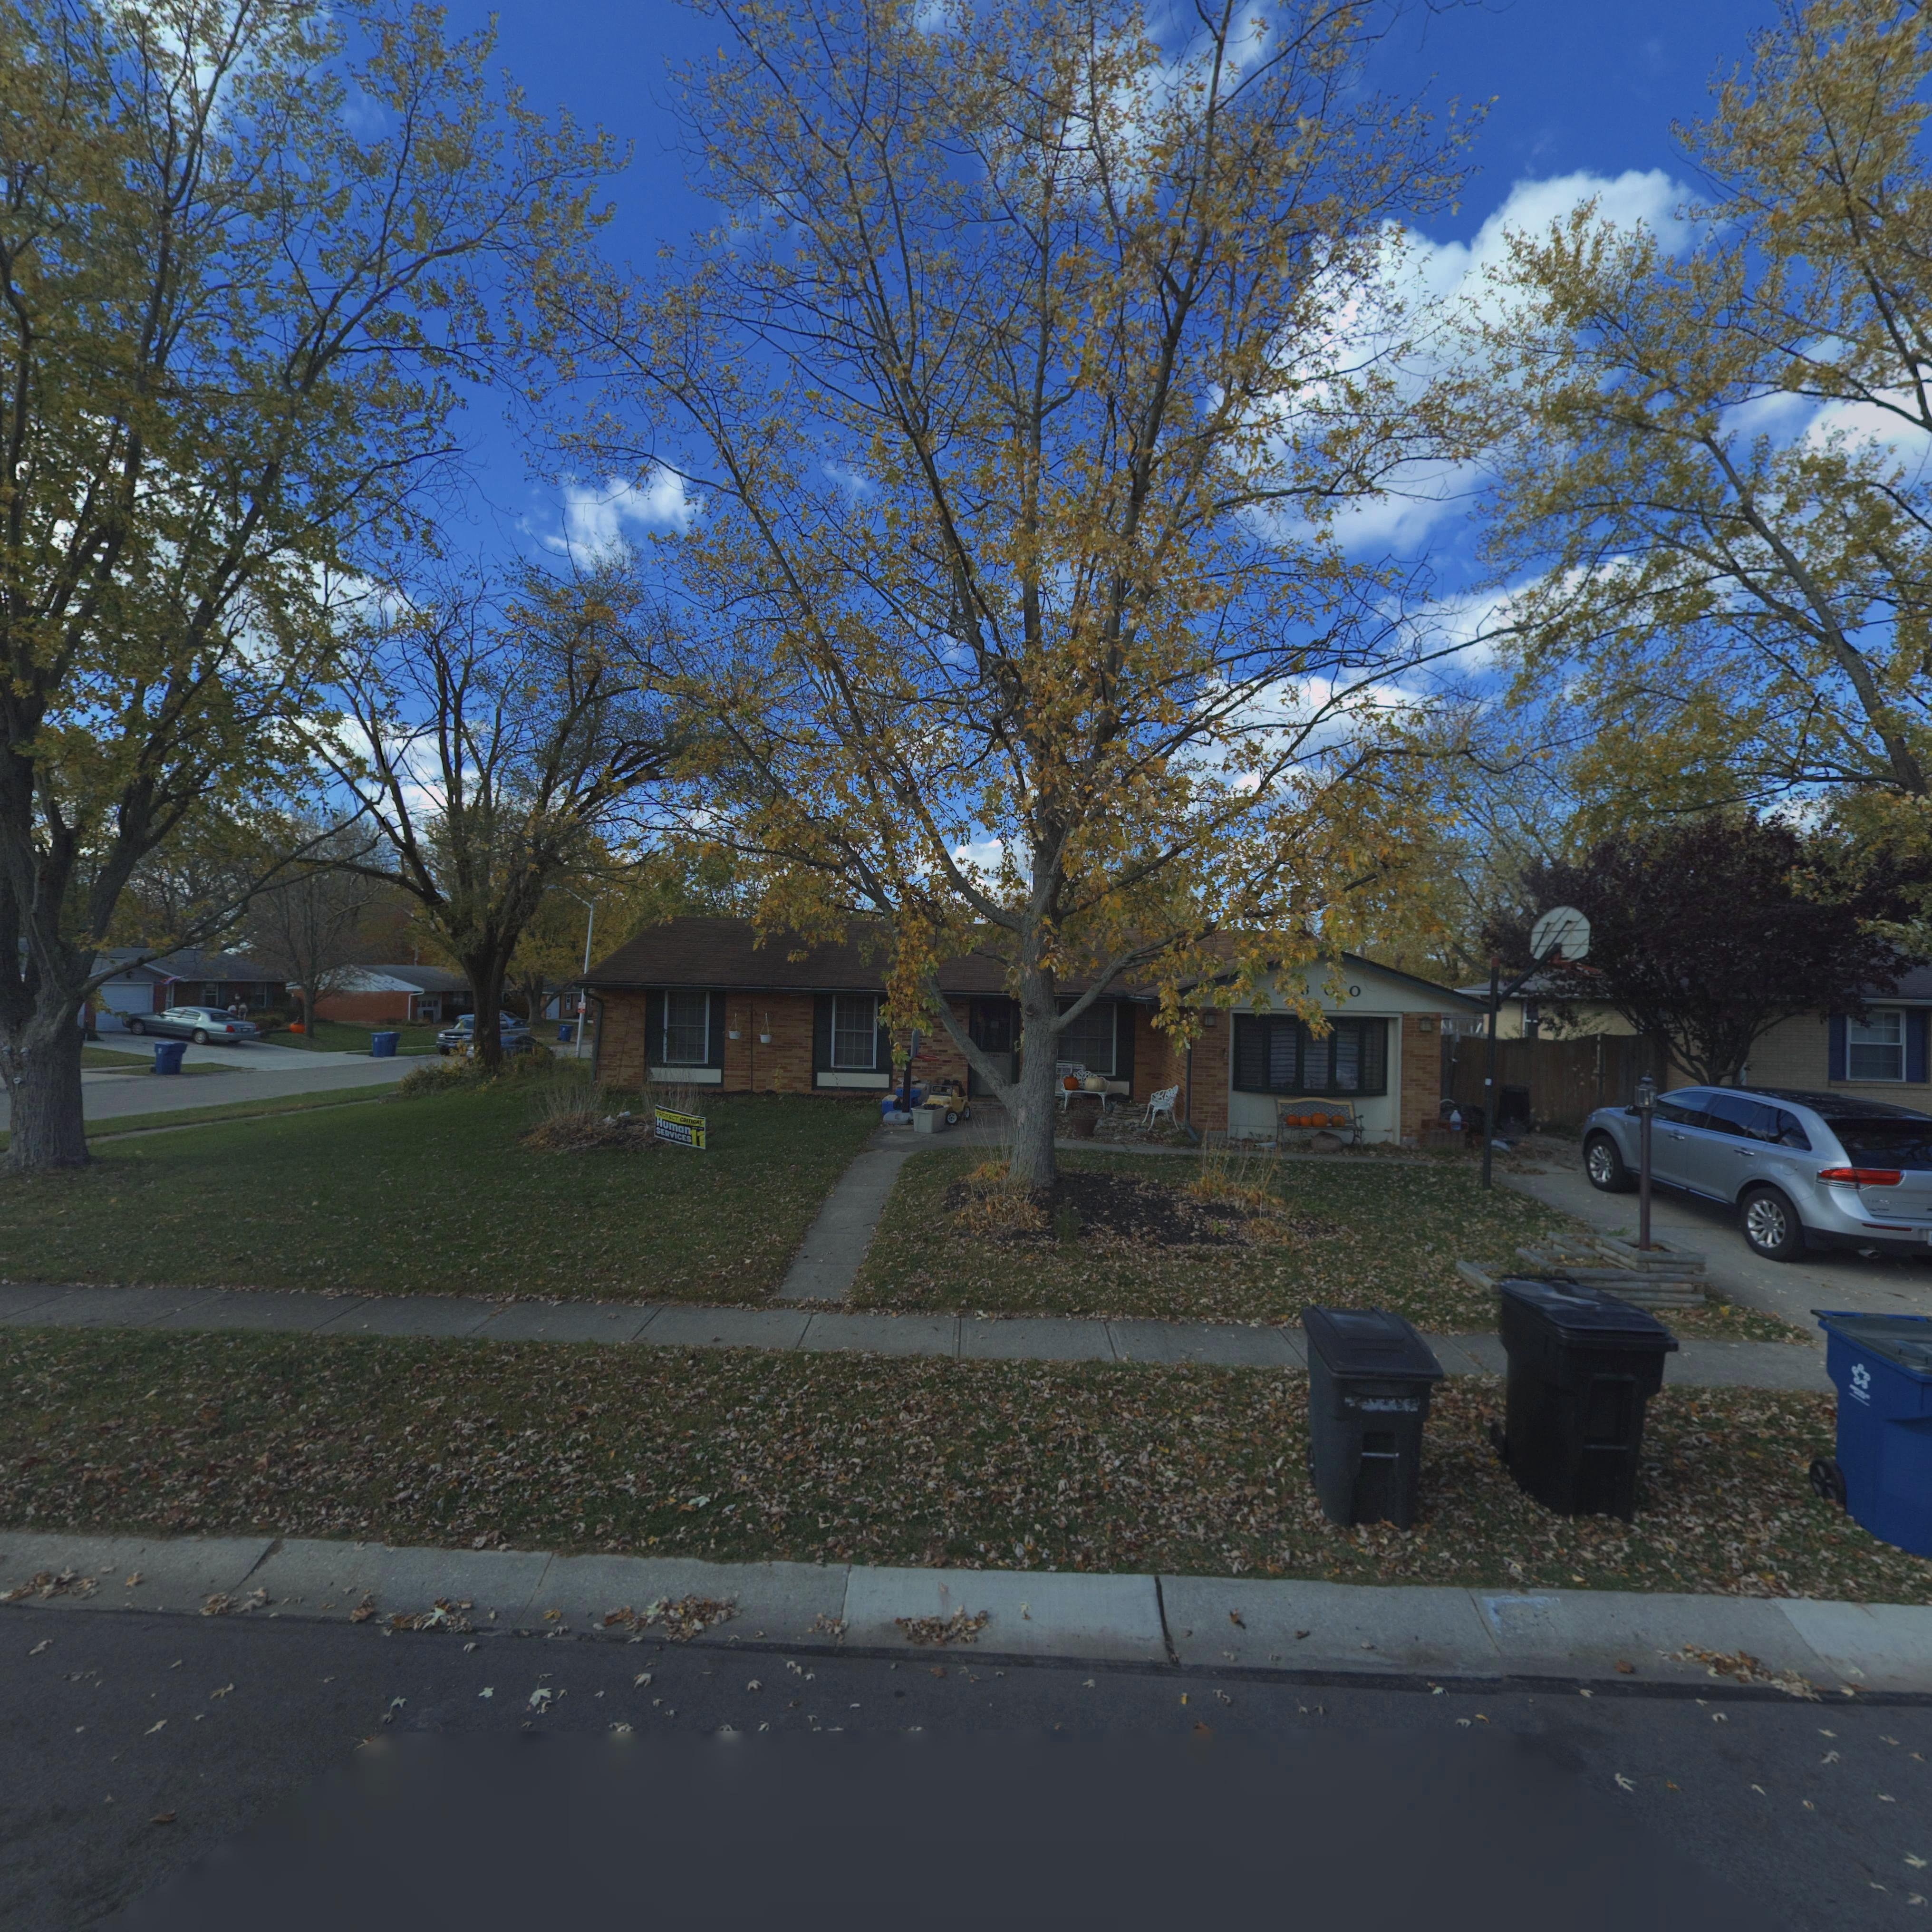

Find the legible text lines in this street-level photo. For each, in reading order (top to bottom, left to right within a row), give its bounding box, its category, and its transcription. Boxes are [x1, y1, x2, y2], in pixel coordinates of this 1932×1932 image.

[1348, 985, 1361, 998] StreetNumber: 0